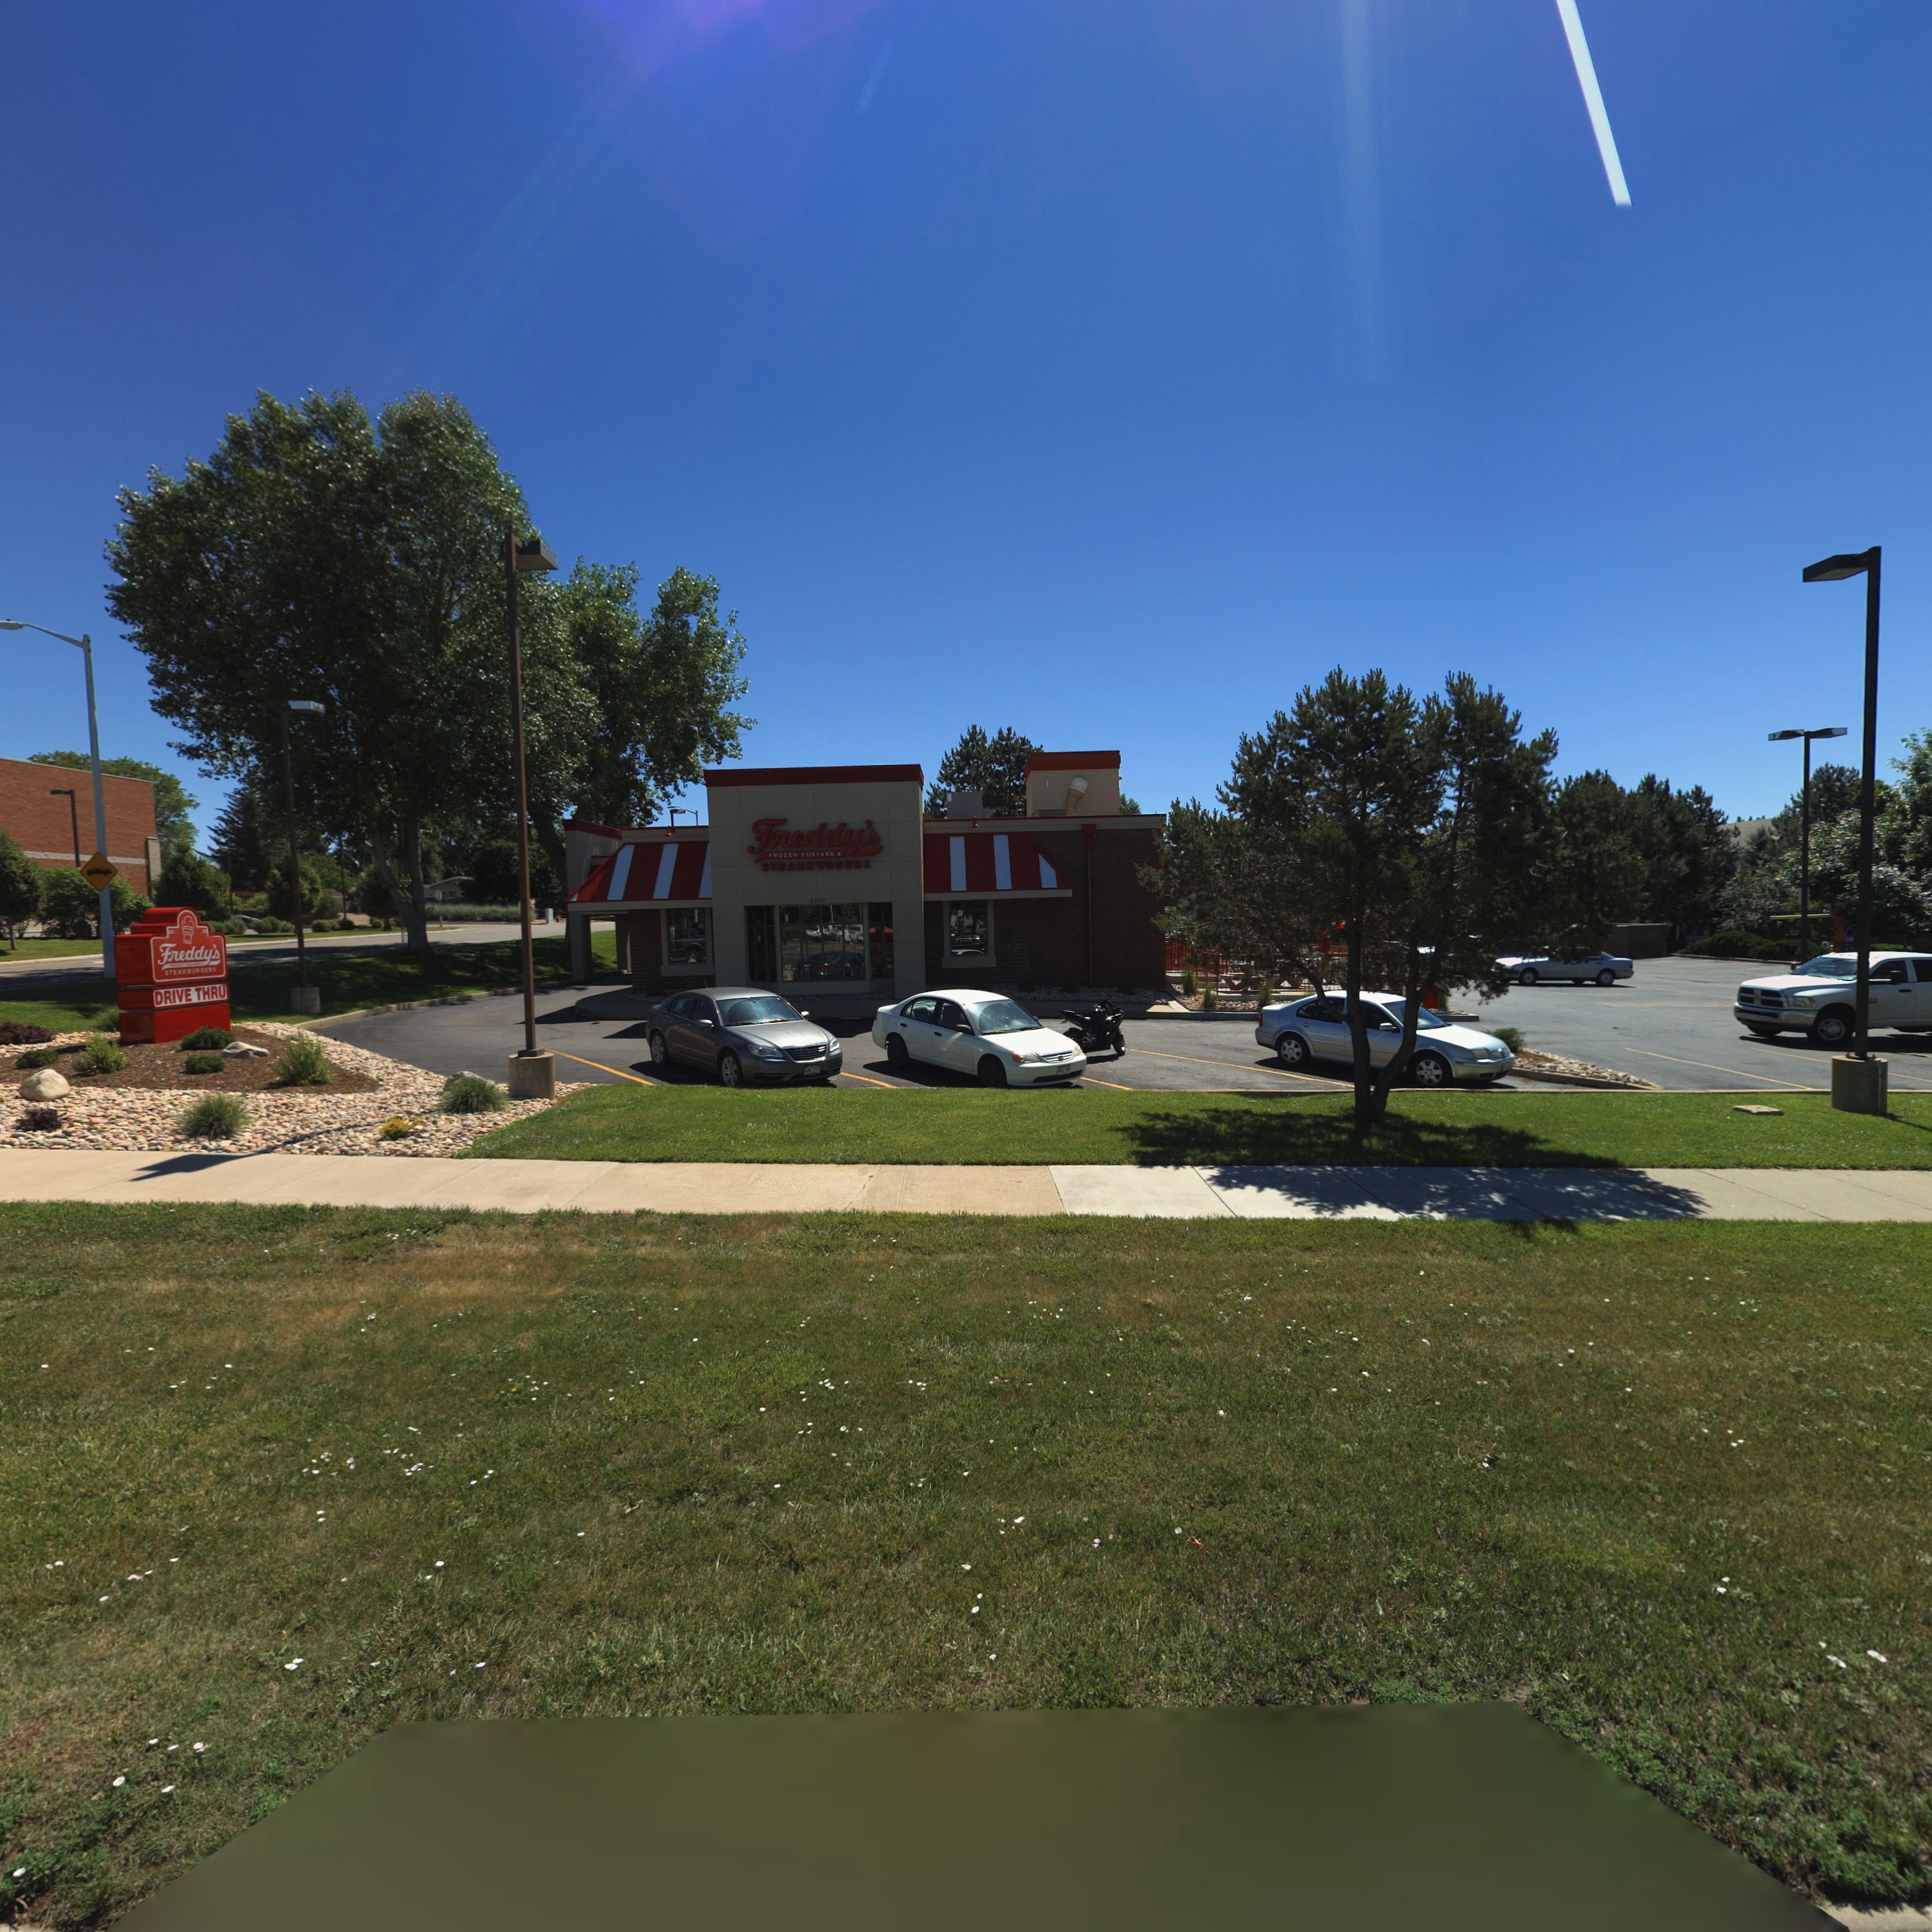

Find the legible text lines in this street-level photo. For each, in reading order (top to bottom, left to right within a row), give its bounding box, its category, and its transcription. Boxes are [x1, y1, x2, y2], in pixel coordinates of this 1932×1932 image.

[745, 818, 881, 858] BusinessName: Freddy's
[769, 851, 841, 858] BusinessName: FROZEN CUSTARD &
[761, 859, 870, 872] BusinessName: STEAKBURGERS
[810, 897, 825, 903] StreetNumber: 2250
[156, 942, 221, 966] BusinessName: Freddy's
[164, 966, 216, 976] BusinessName: STEAKBURGERS